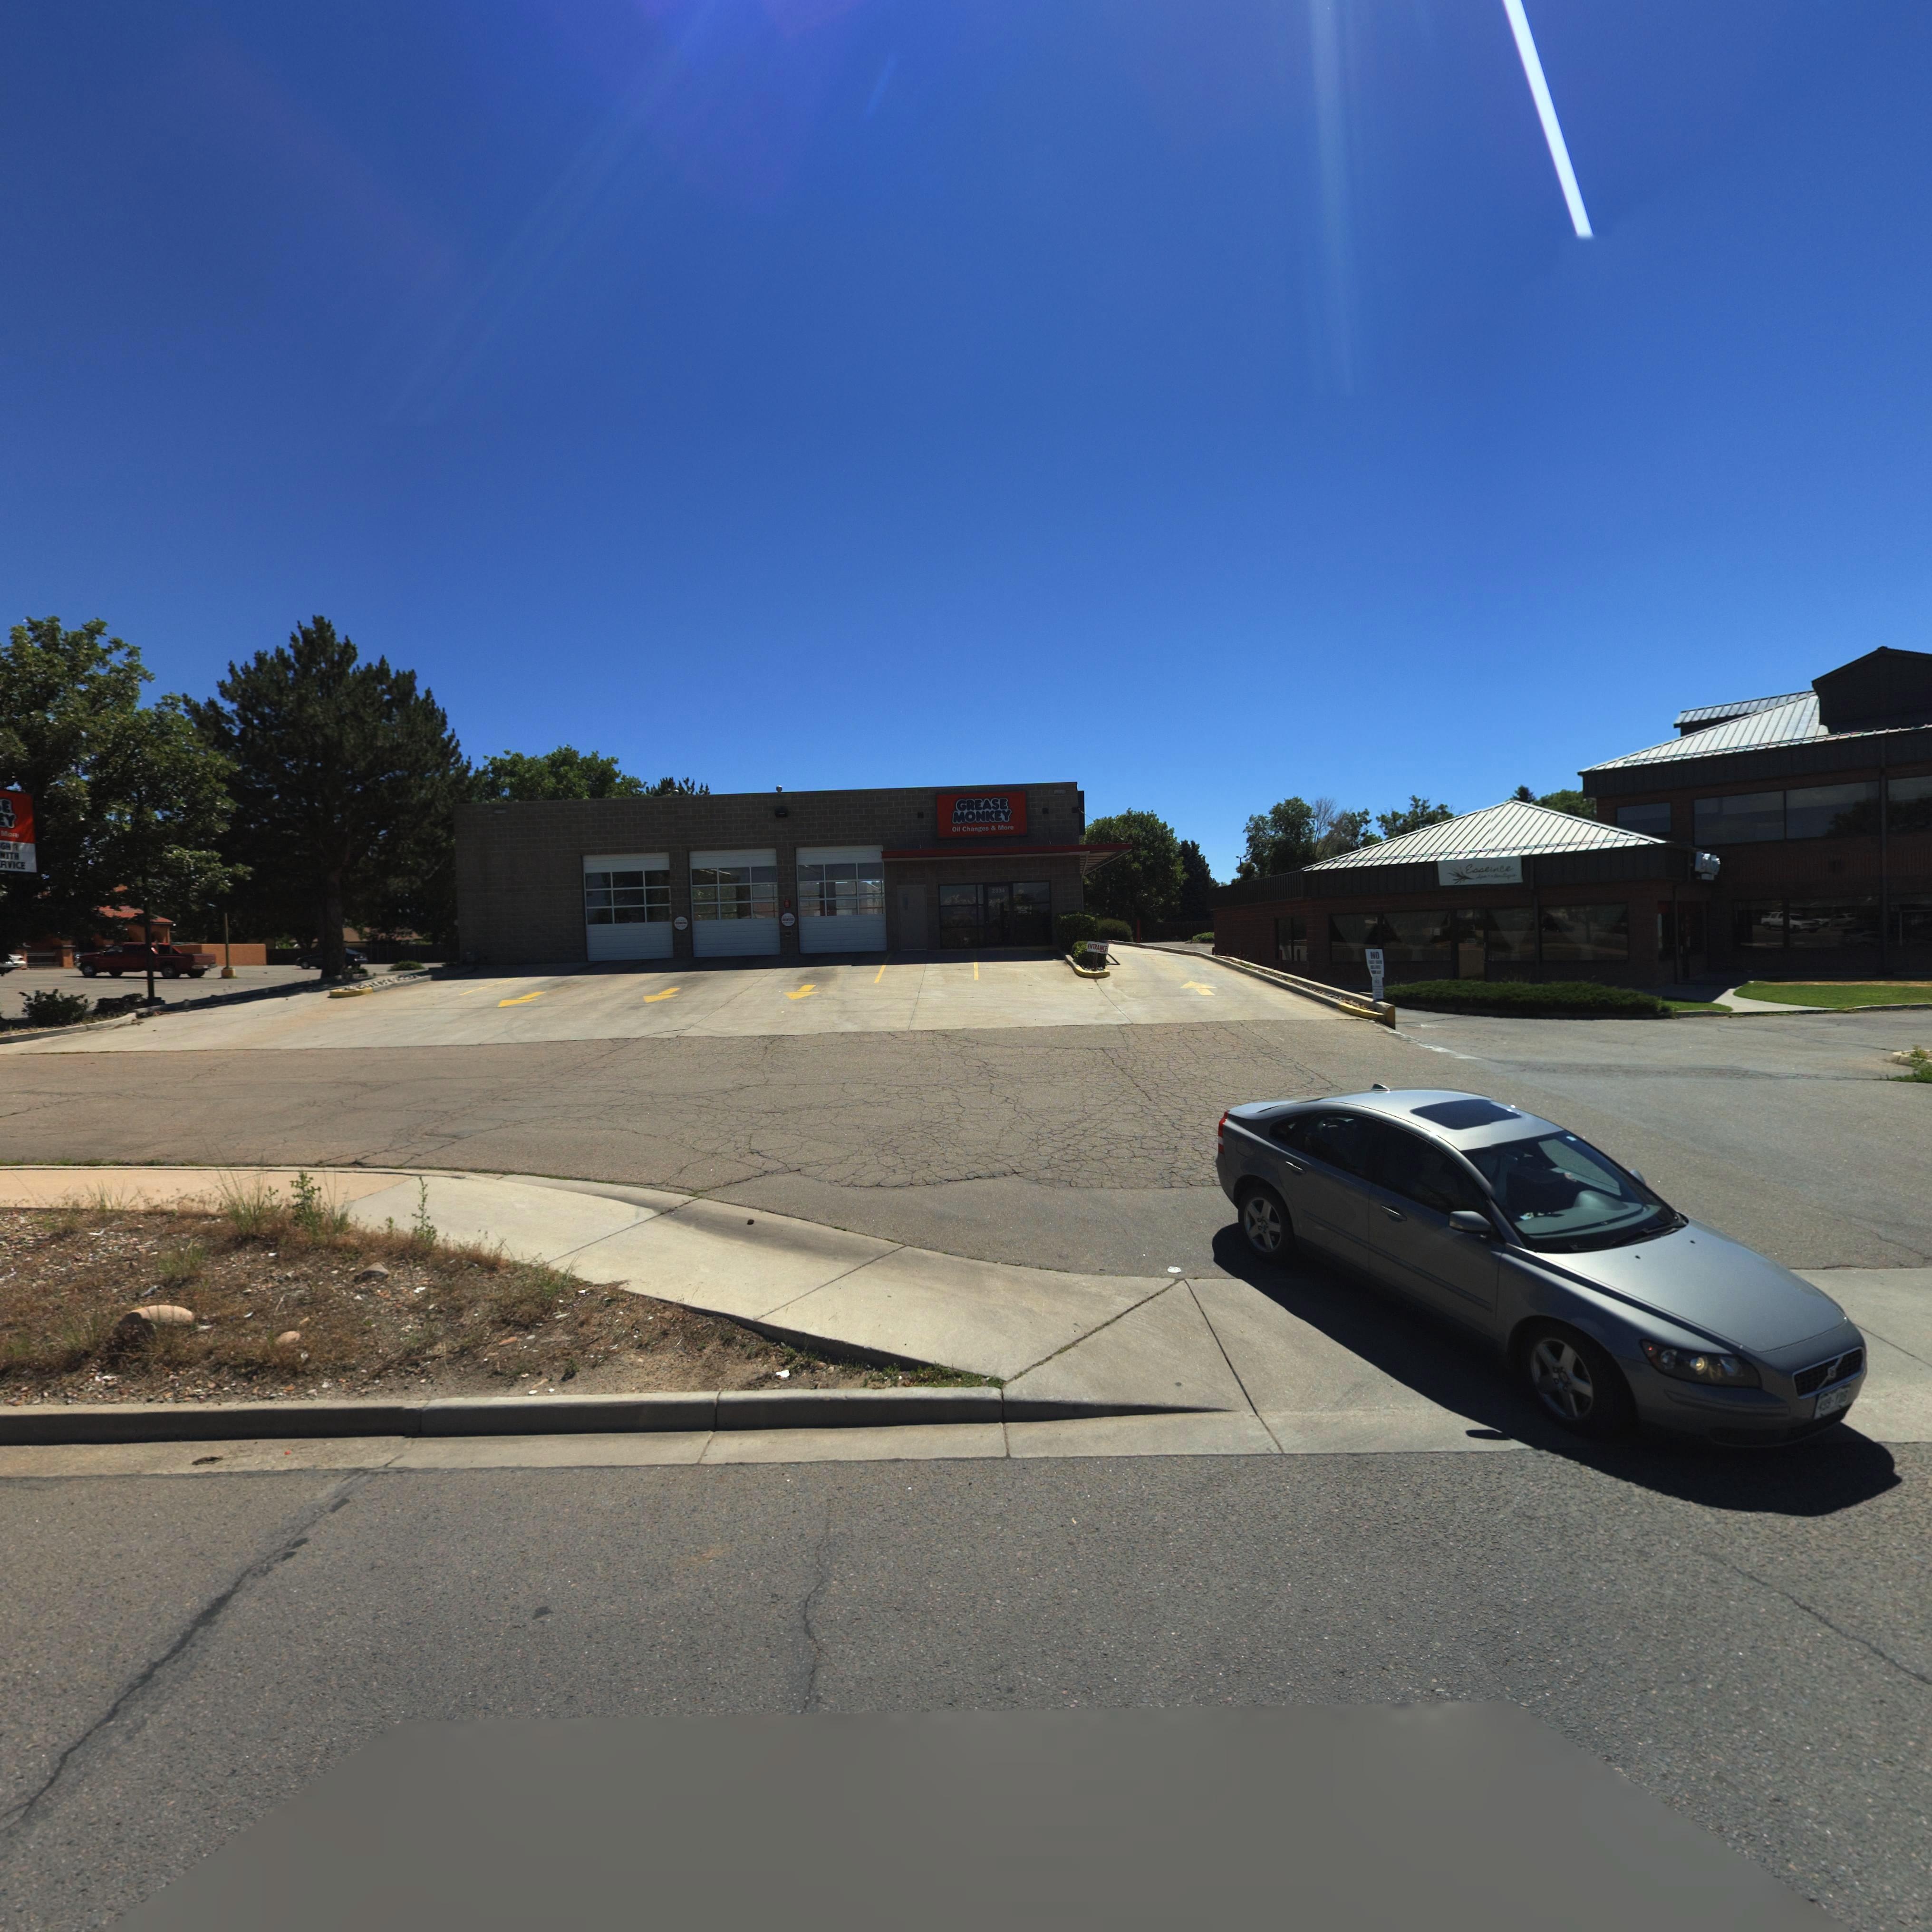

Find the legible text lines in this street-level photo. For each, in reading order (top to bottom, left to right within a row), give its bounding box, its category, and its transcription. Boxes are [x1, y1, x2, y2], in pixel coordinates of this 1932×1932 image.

[1, 799, 12, 813] BusinessName: E
[955, 797, 1008, 811] BusinessName: GREASE
[3, 812, 17, 829] BusinessName: Y
[951, 809, 1012, 823] BusinessName: MONKEY
[1465, 863, 1514, 874] BusinessName: Essence
[991, 888, 1005, 893] StreetNumber: 2334